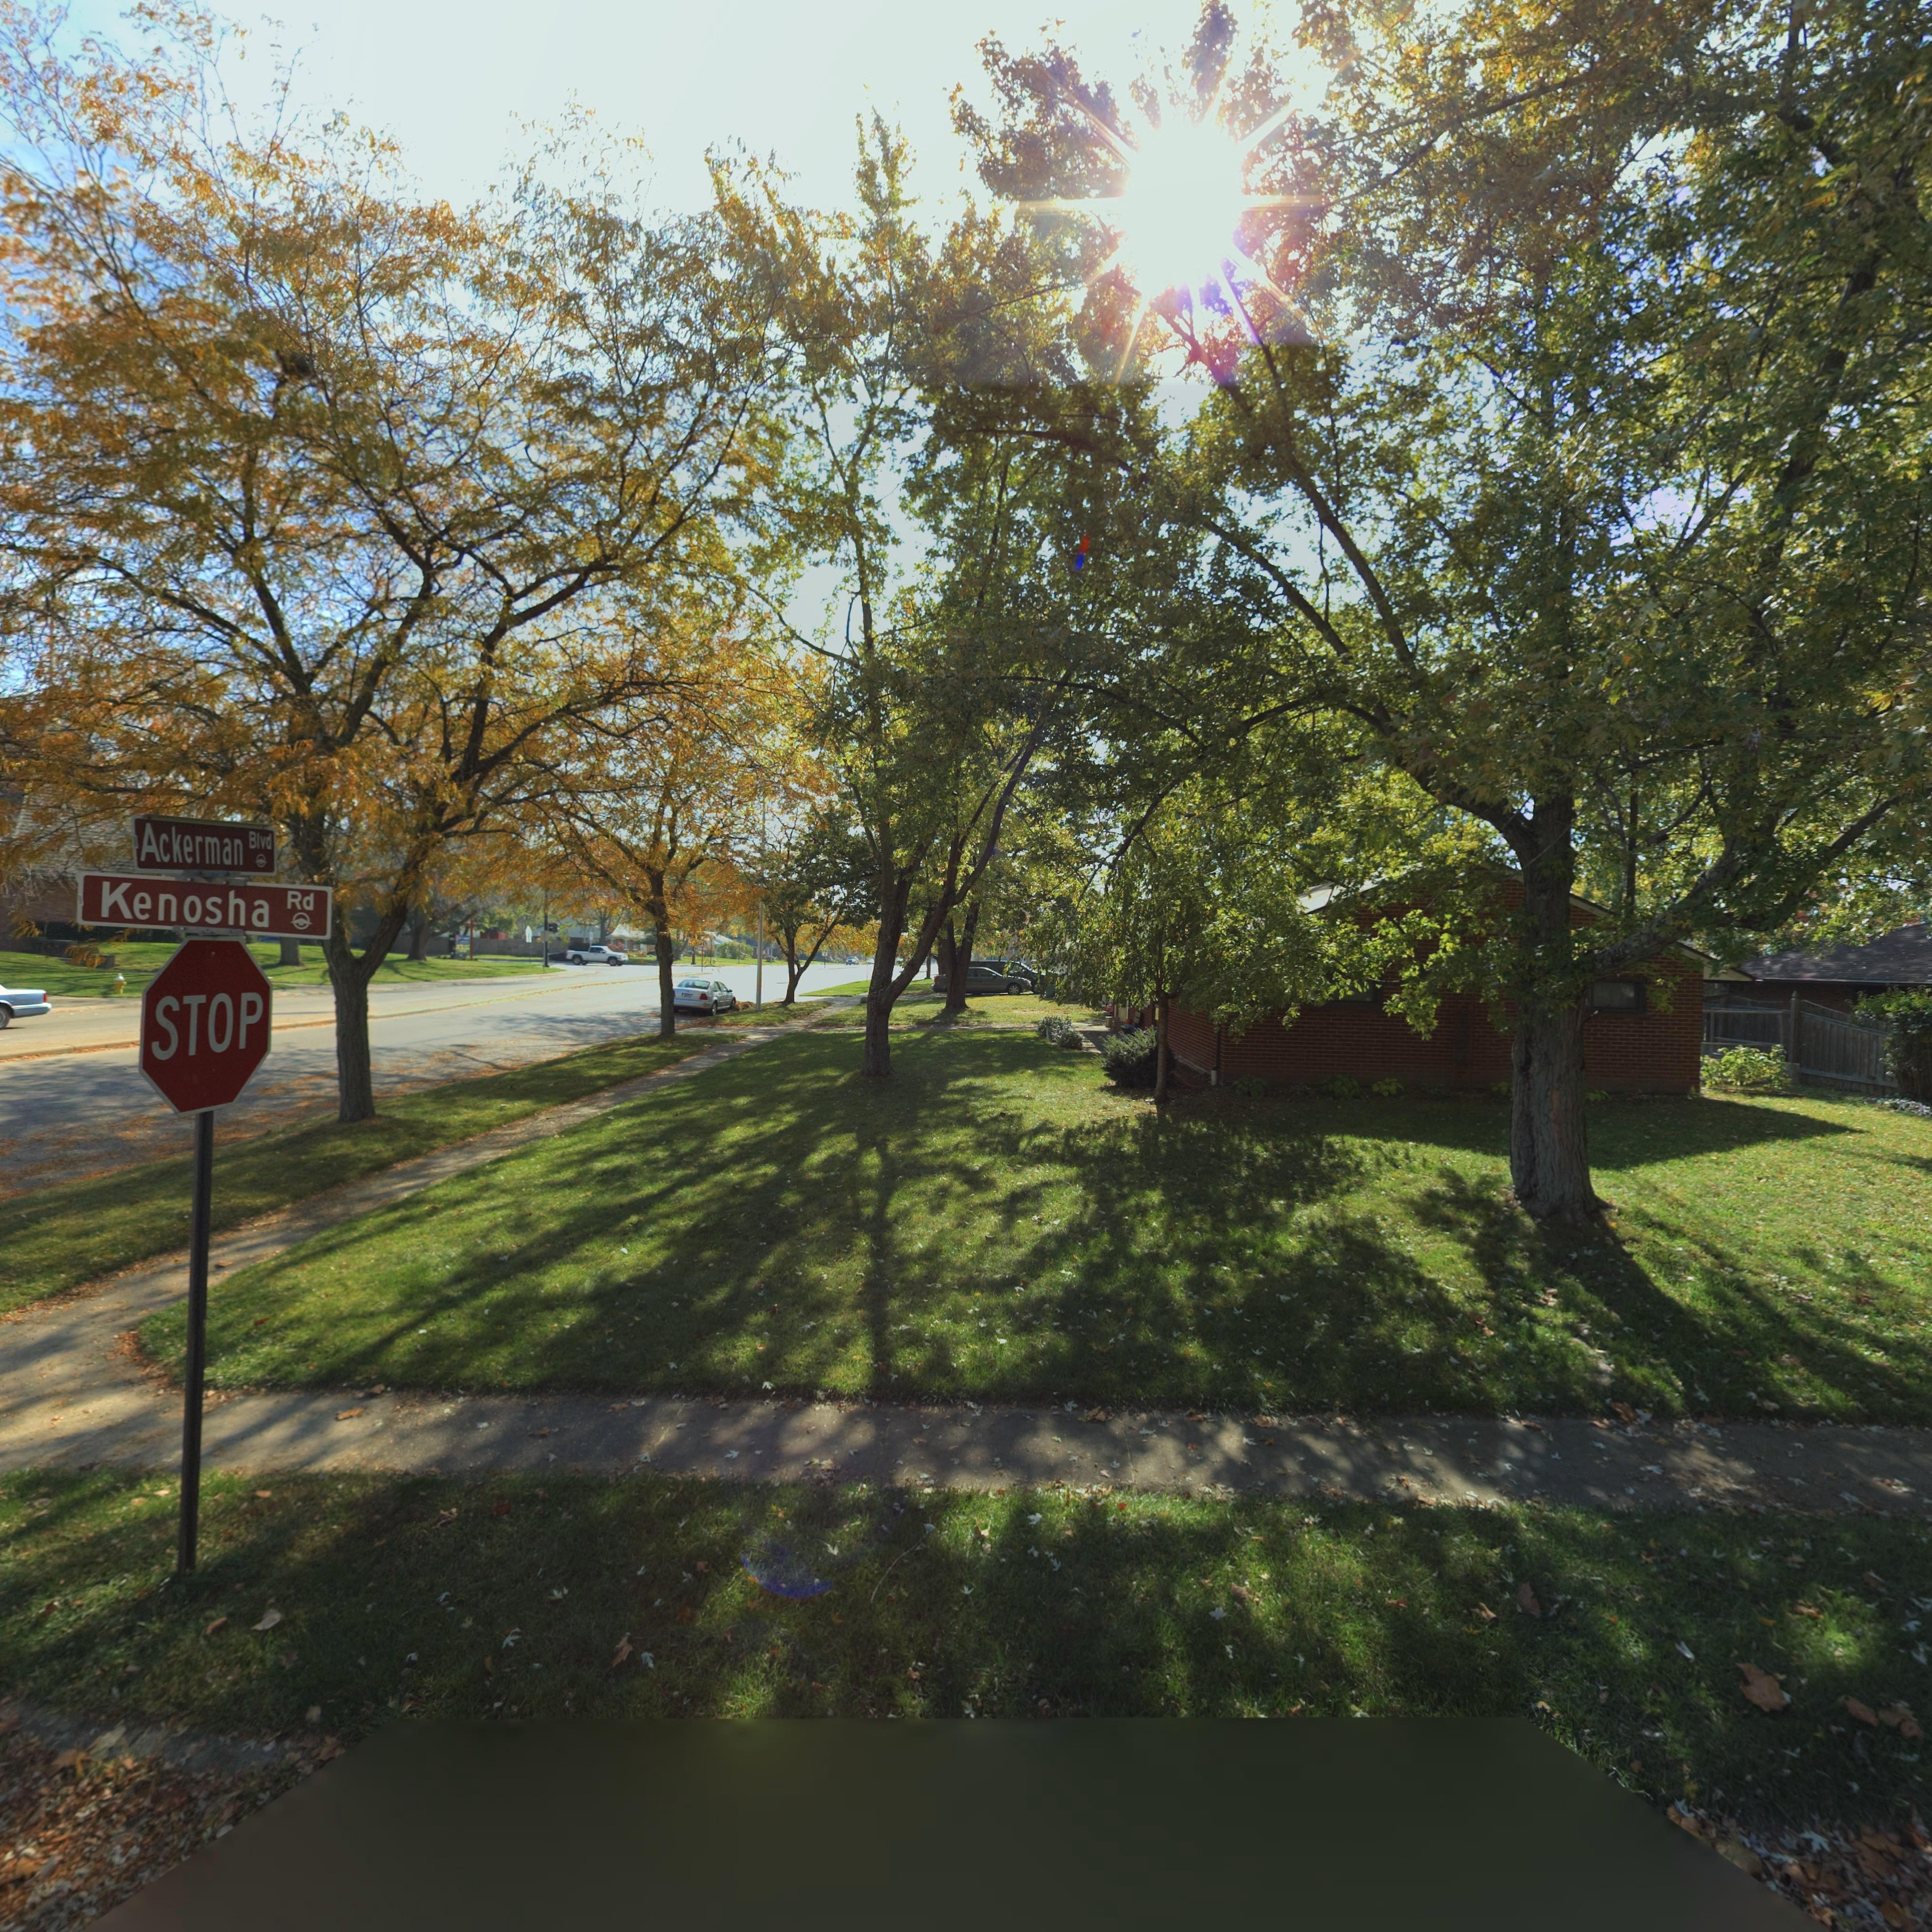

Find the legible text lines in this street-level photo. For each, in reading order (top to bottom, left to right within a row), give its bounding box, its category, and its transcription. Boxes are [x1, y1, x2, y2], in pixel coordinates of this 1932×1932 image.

[136, 817, 274, 869] StreetName: Ackerman Blvd
[98, 877, 317, 931] StreetName: Kenosha Rd
[149, 990, 266, 1063] None: STOP